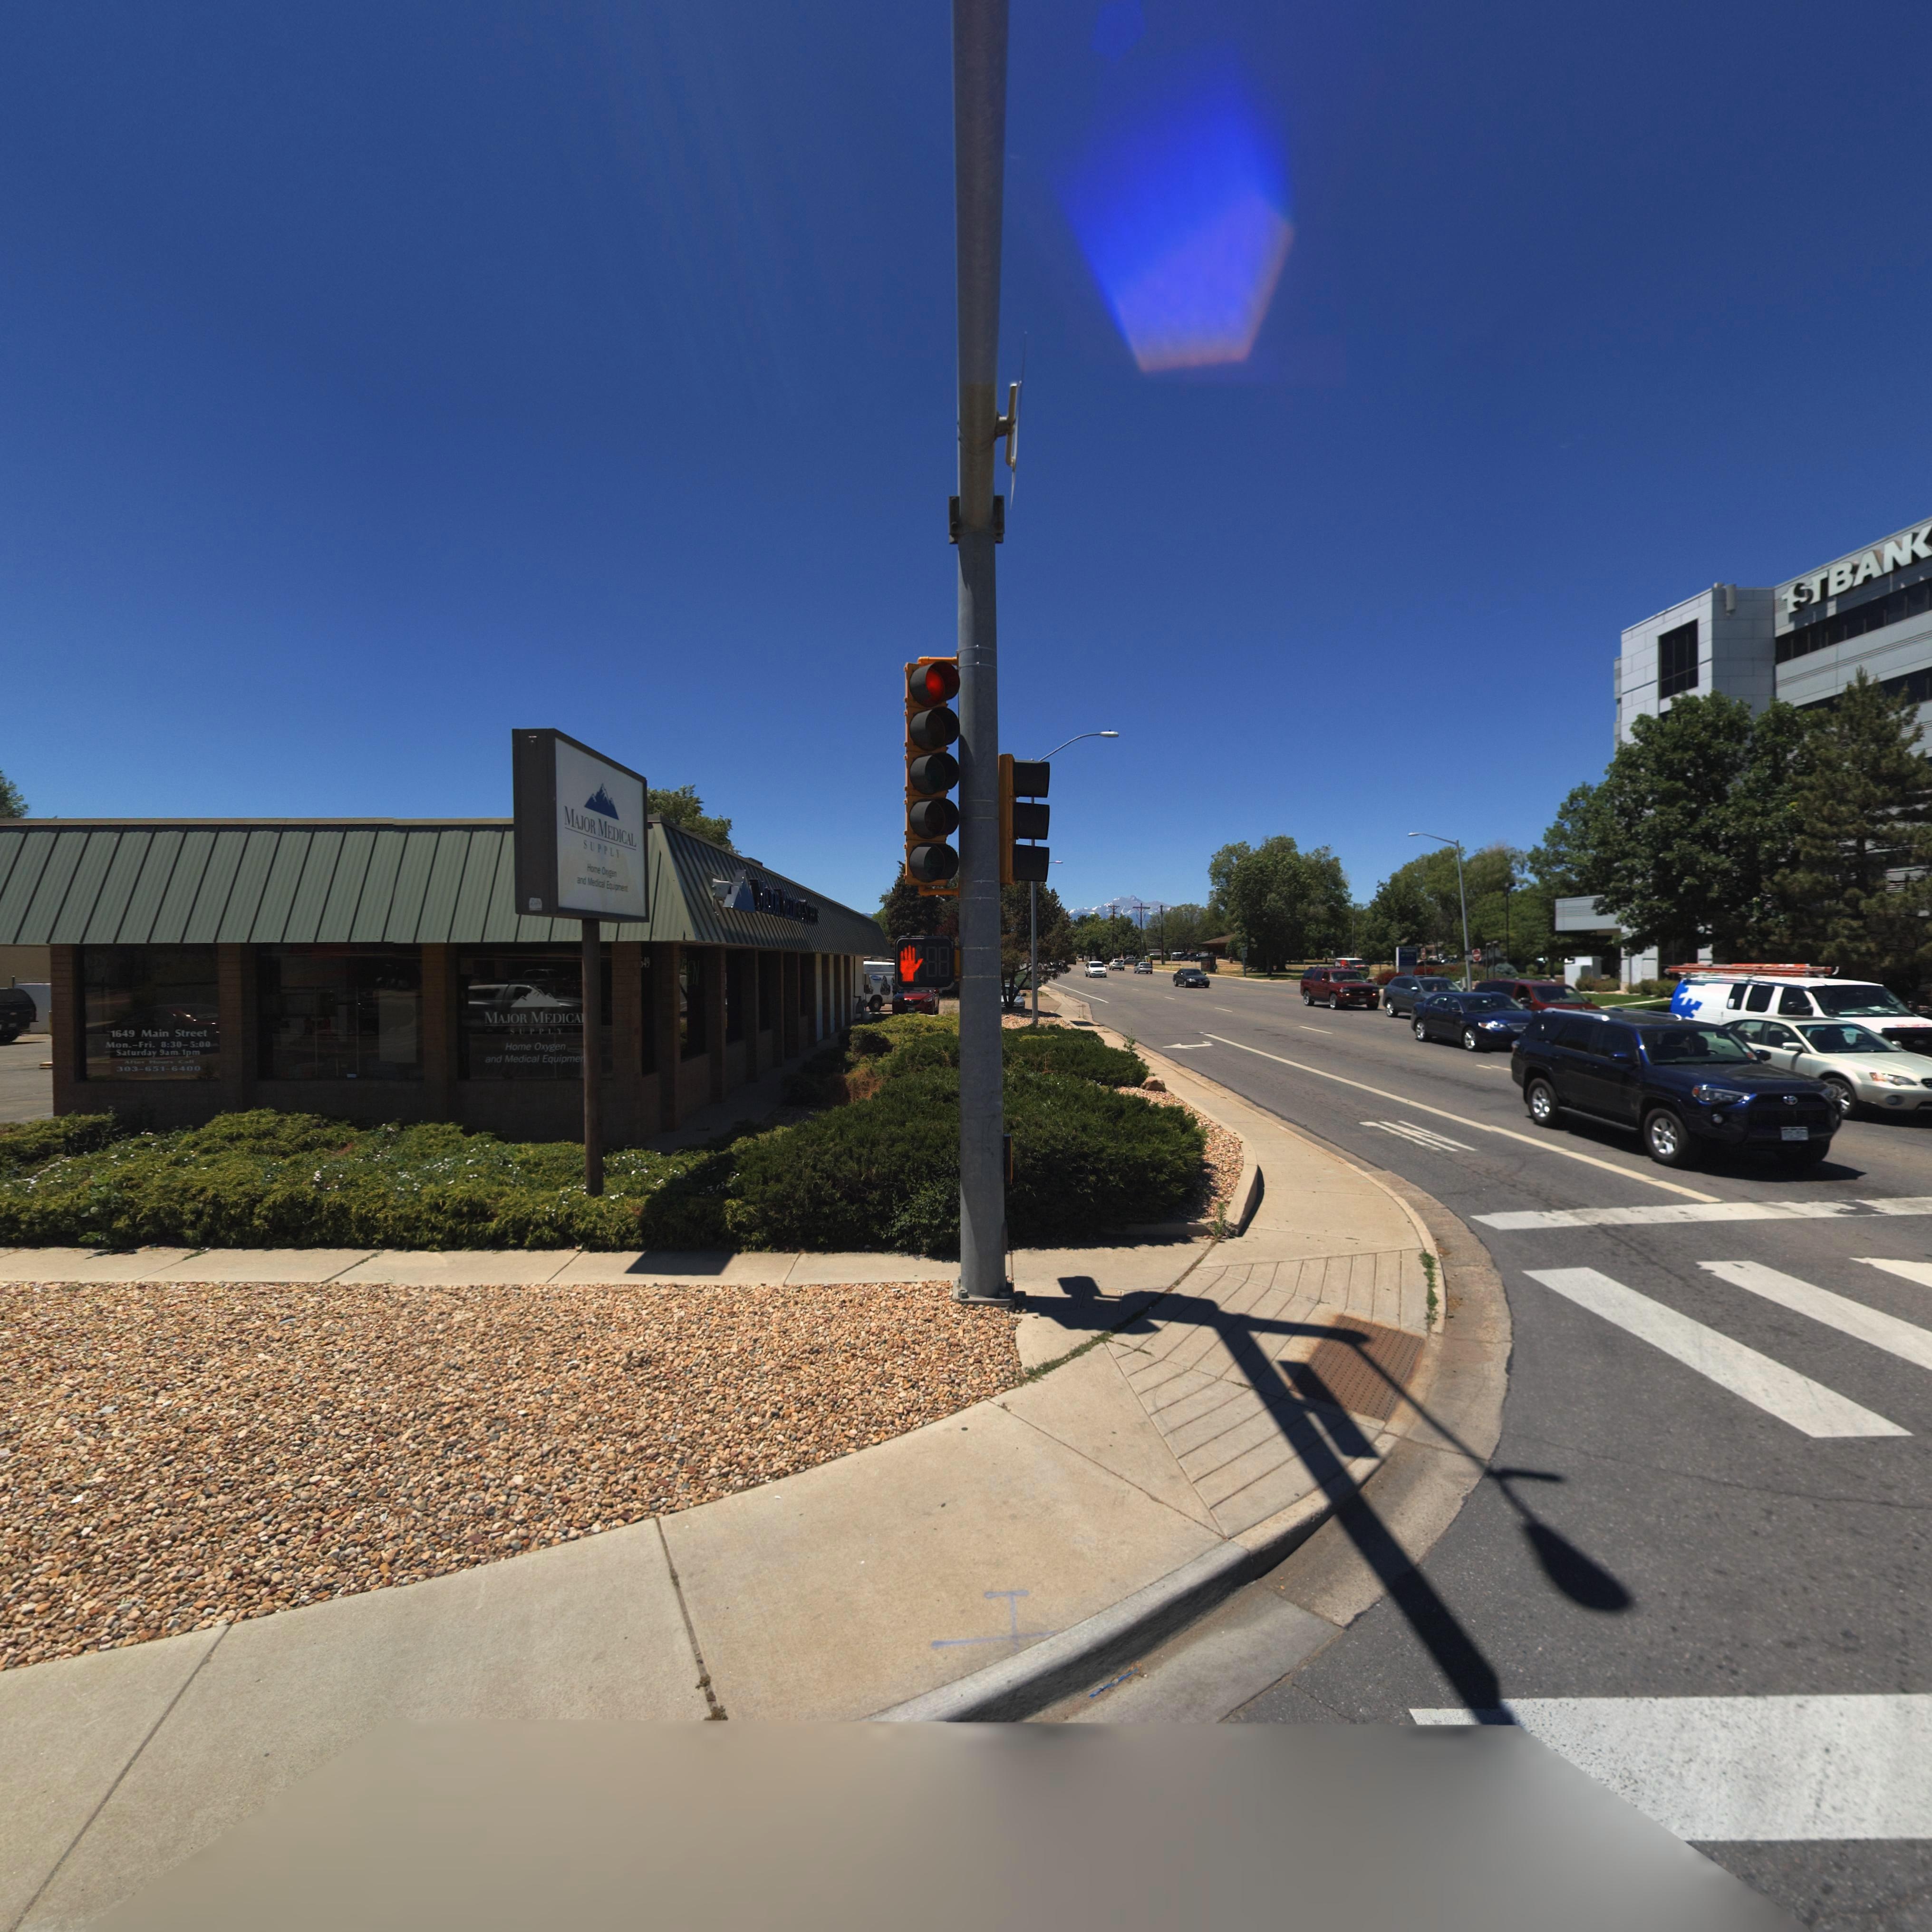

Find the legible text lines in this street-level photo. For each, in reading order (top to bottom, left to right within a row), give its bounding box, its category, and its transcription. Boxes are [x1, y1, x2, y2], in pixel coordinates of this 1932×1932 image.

[1781, 522, 1931, 614] BusinessName: 1S* BA*K
[563, 804, 637, 848] BusinessName: MAJOR MEDICAL
[583, 839, 621, 858] BusinessName: SUPPLY
[754, 876, 819, 926] BusinessName: MAJOR MEDICAL SUPPLY
[1400, 948, 1416, 953] BusinessName: 1S*****
[483, 1010, 584, 1024] BusinessName: MAJOR MEDICAL
[109, 1029, 135, 1038] StreetNumber: 1649
[141, 1029, 208, 1037] StreetName: Main Street
[510, 1027, 563, 1035] BusinessName: SUPPLY